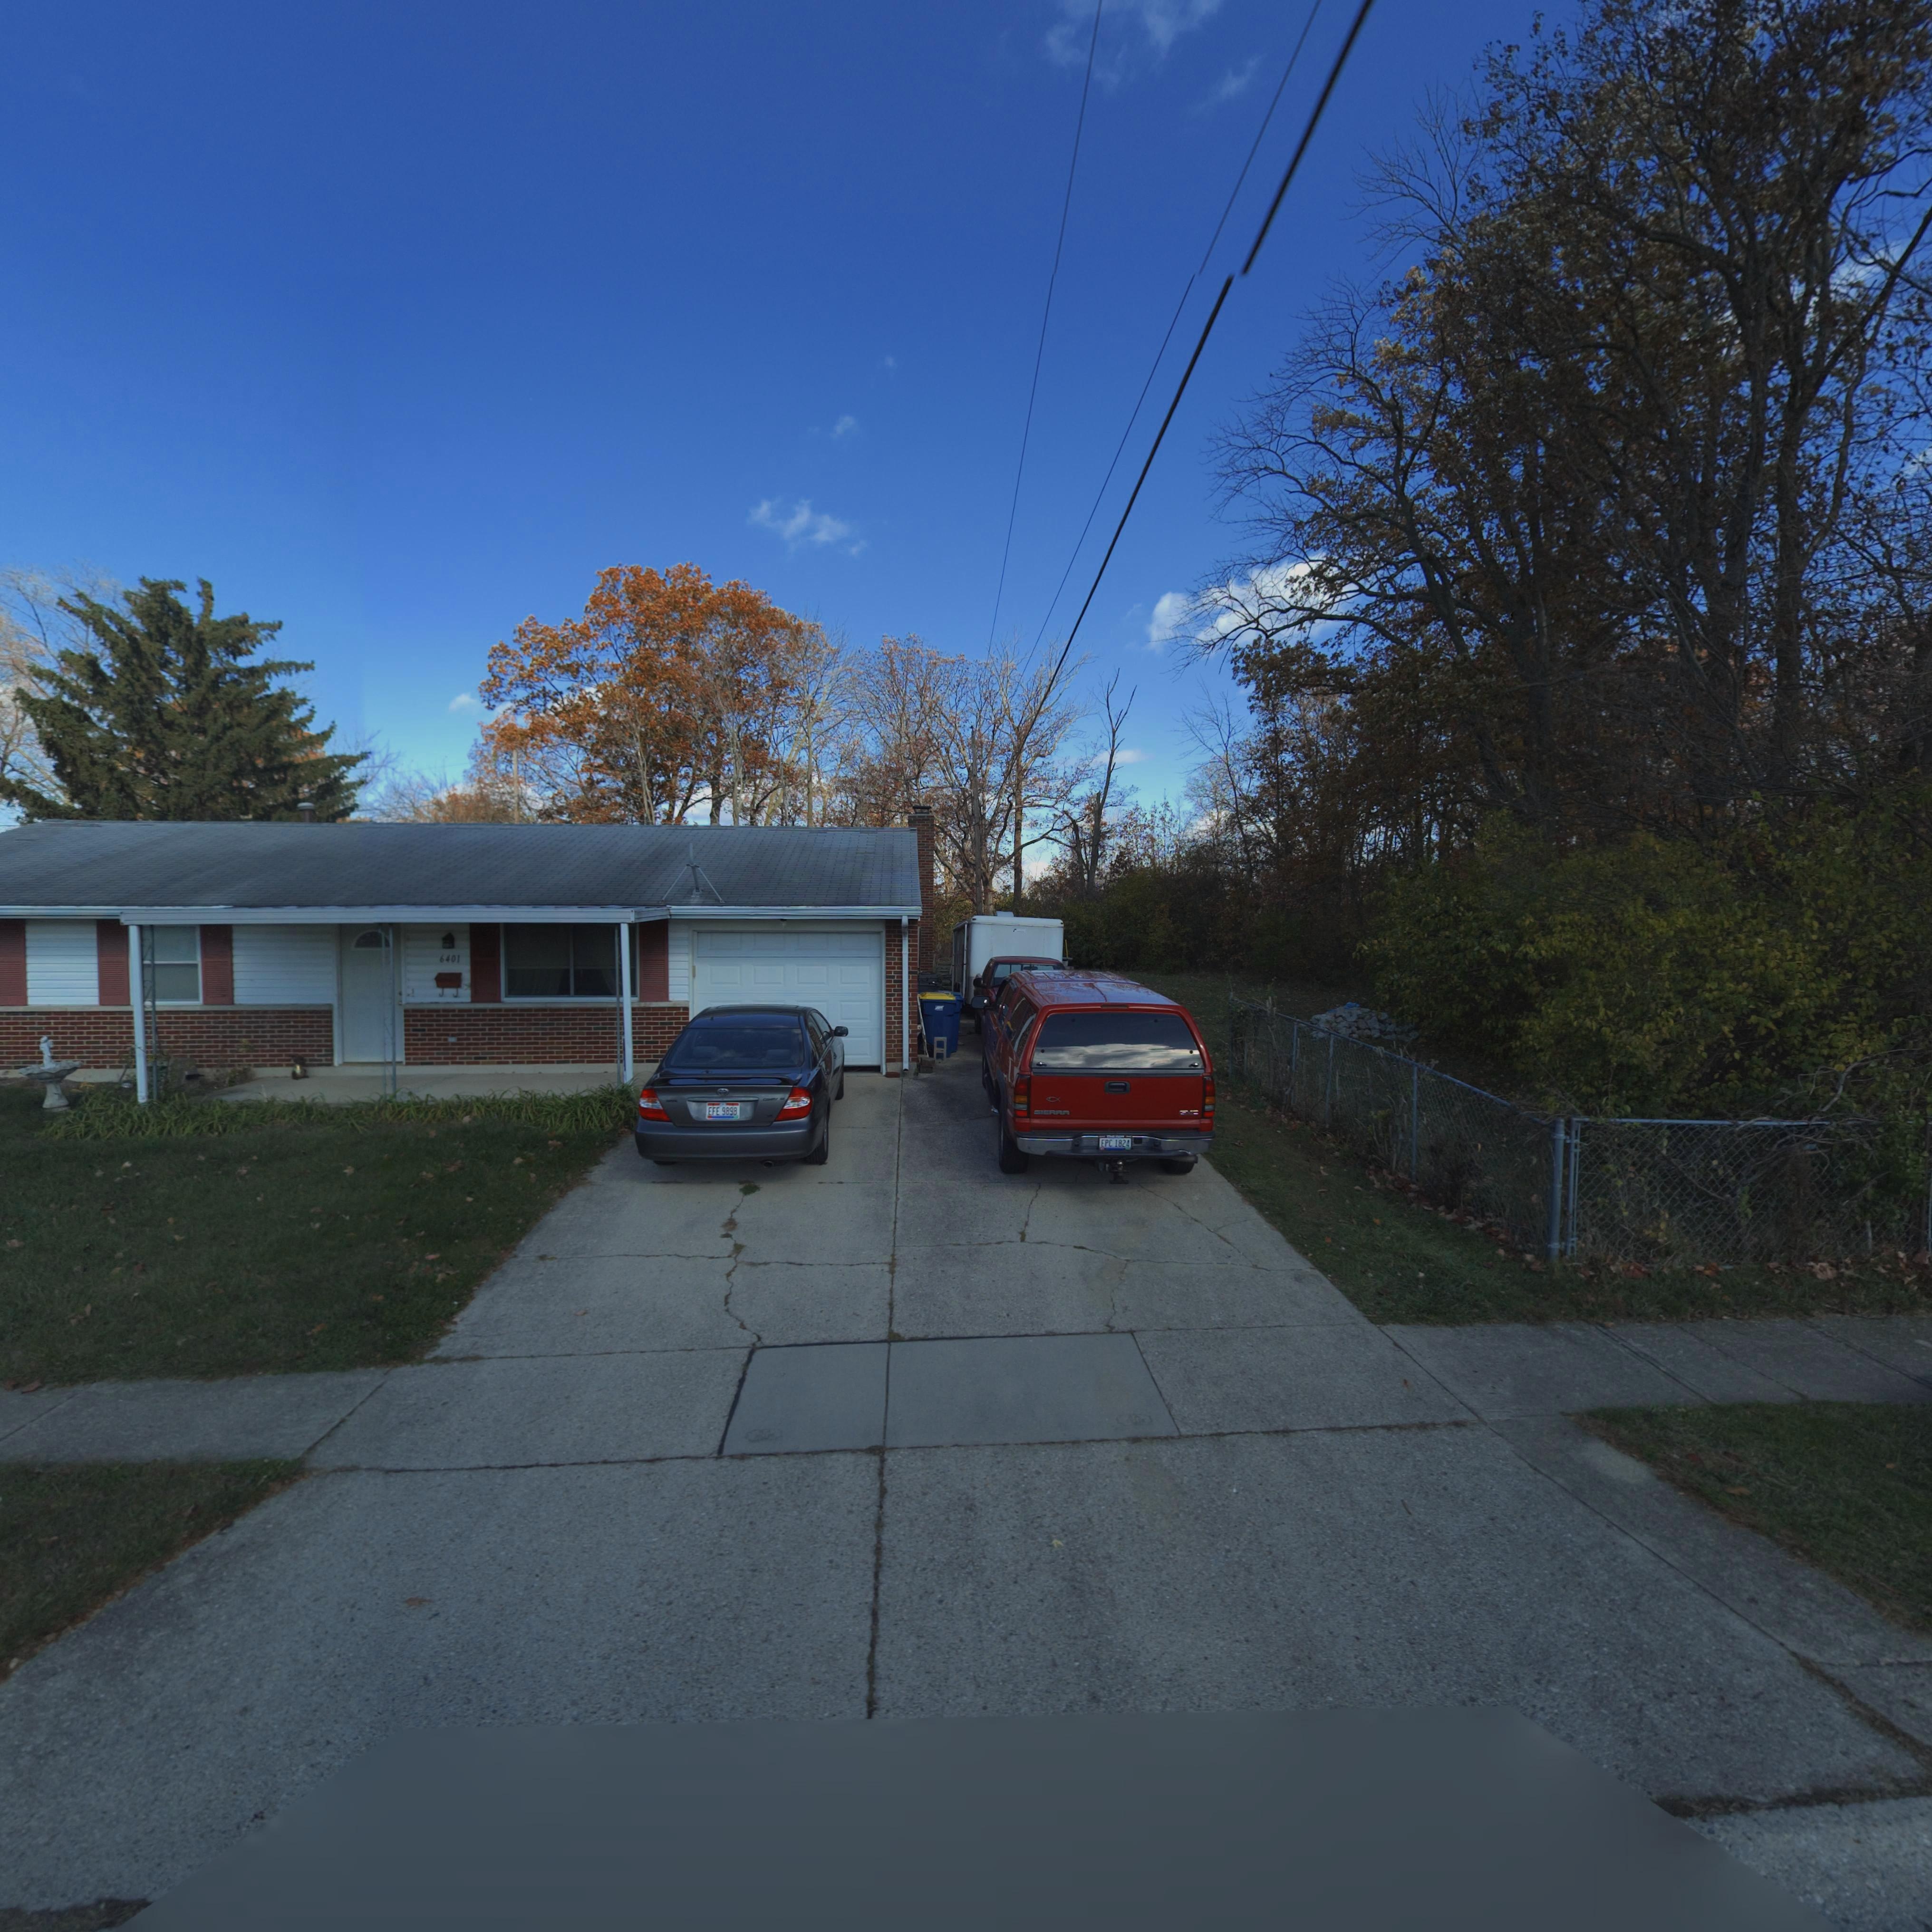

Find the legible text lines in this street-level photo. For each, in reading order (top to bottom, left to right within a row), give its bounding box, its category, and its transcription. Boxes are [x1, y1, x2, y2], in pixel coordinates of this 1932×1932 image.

[439, 953, 461, 964] StreetNumber: 6401